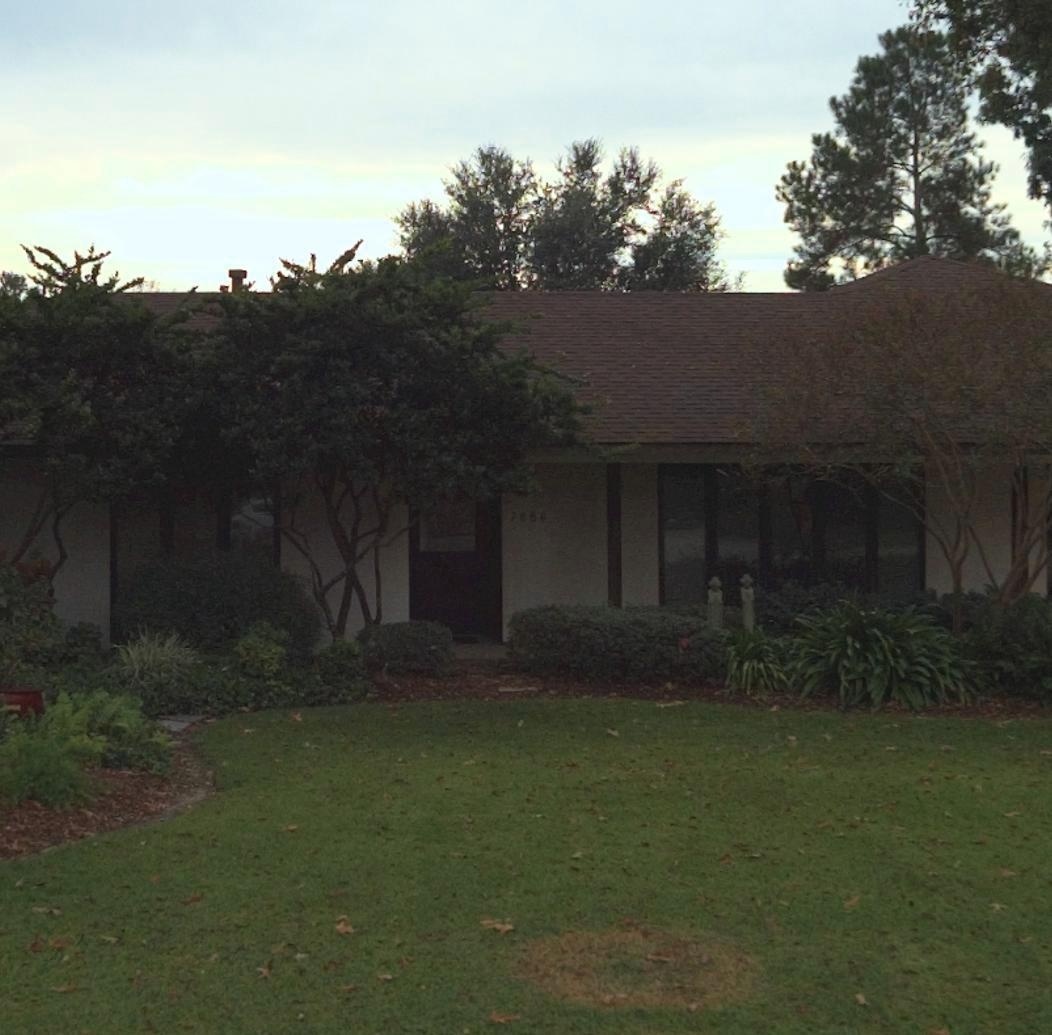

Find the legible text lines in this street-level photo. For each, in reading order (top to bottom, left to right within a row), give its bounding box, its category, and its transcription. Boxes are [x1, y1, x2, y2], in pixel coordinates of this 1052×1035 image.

[510, 510, 547, 523] StreetNumber: 7856